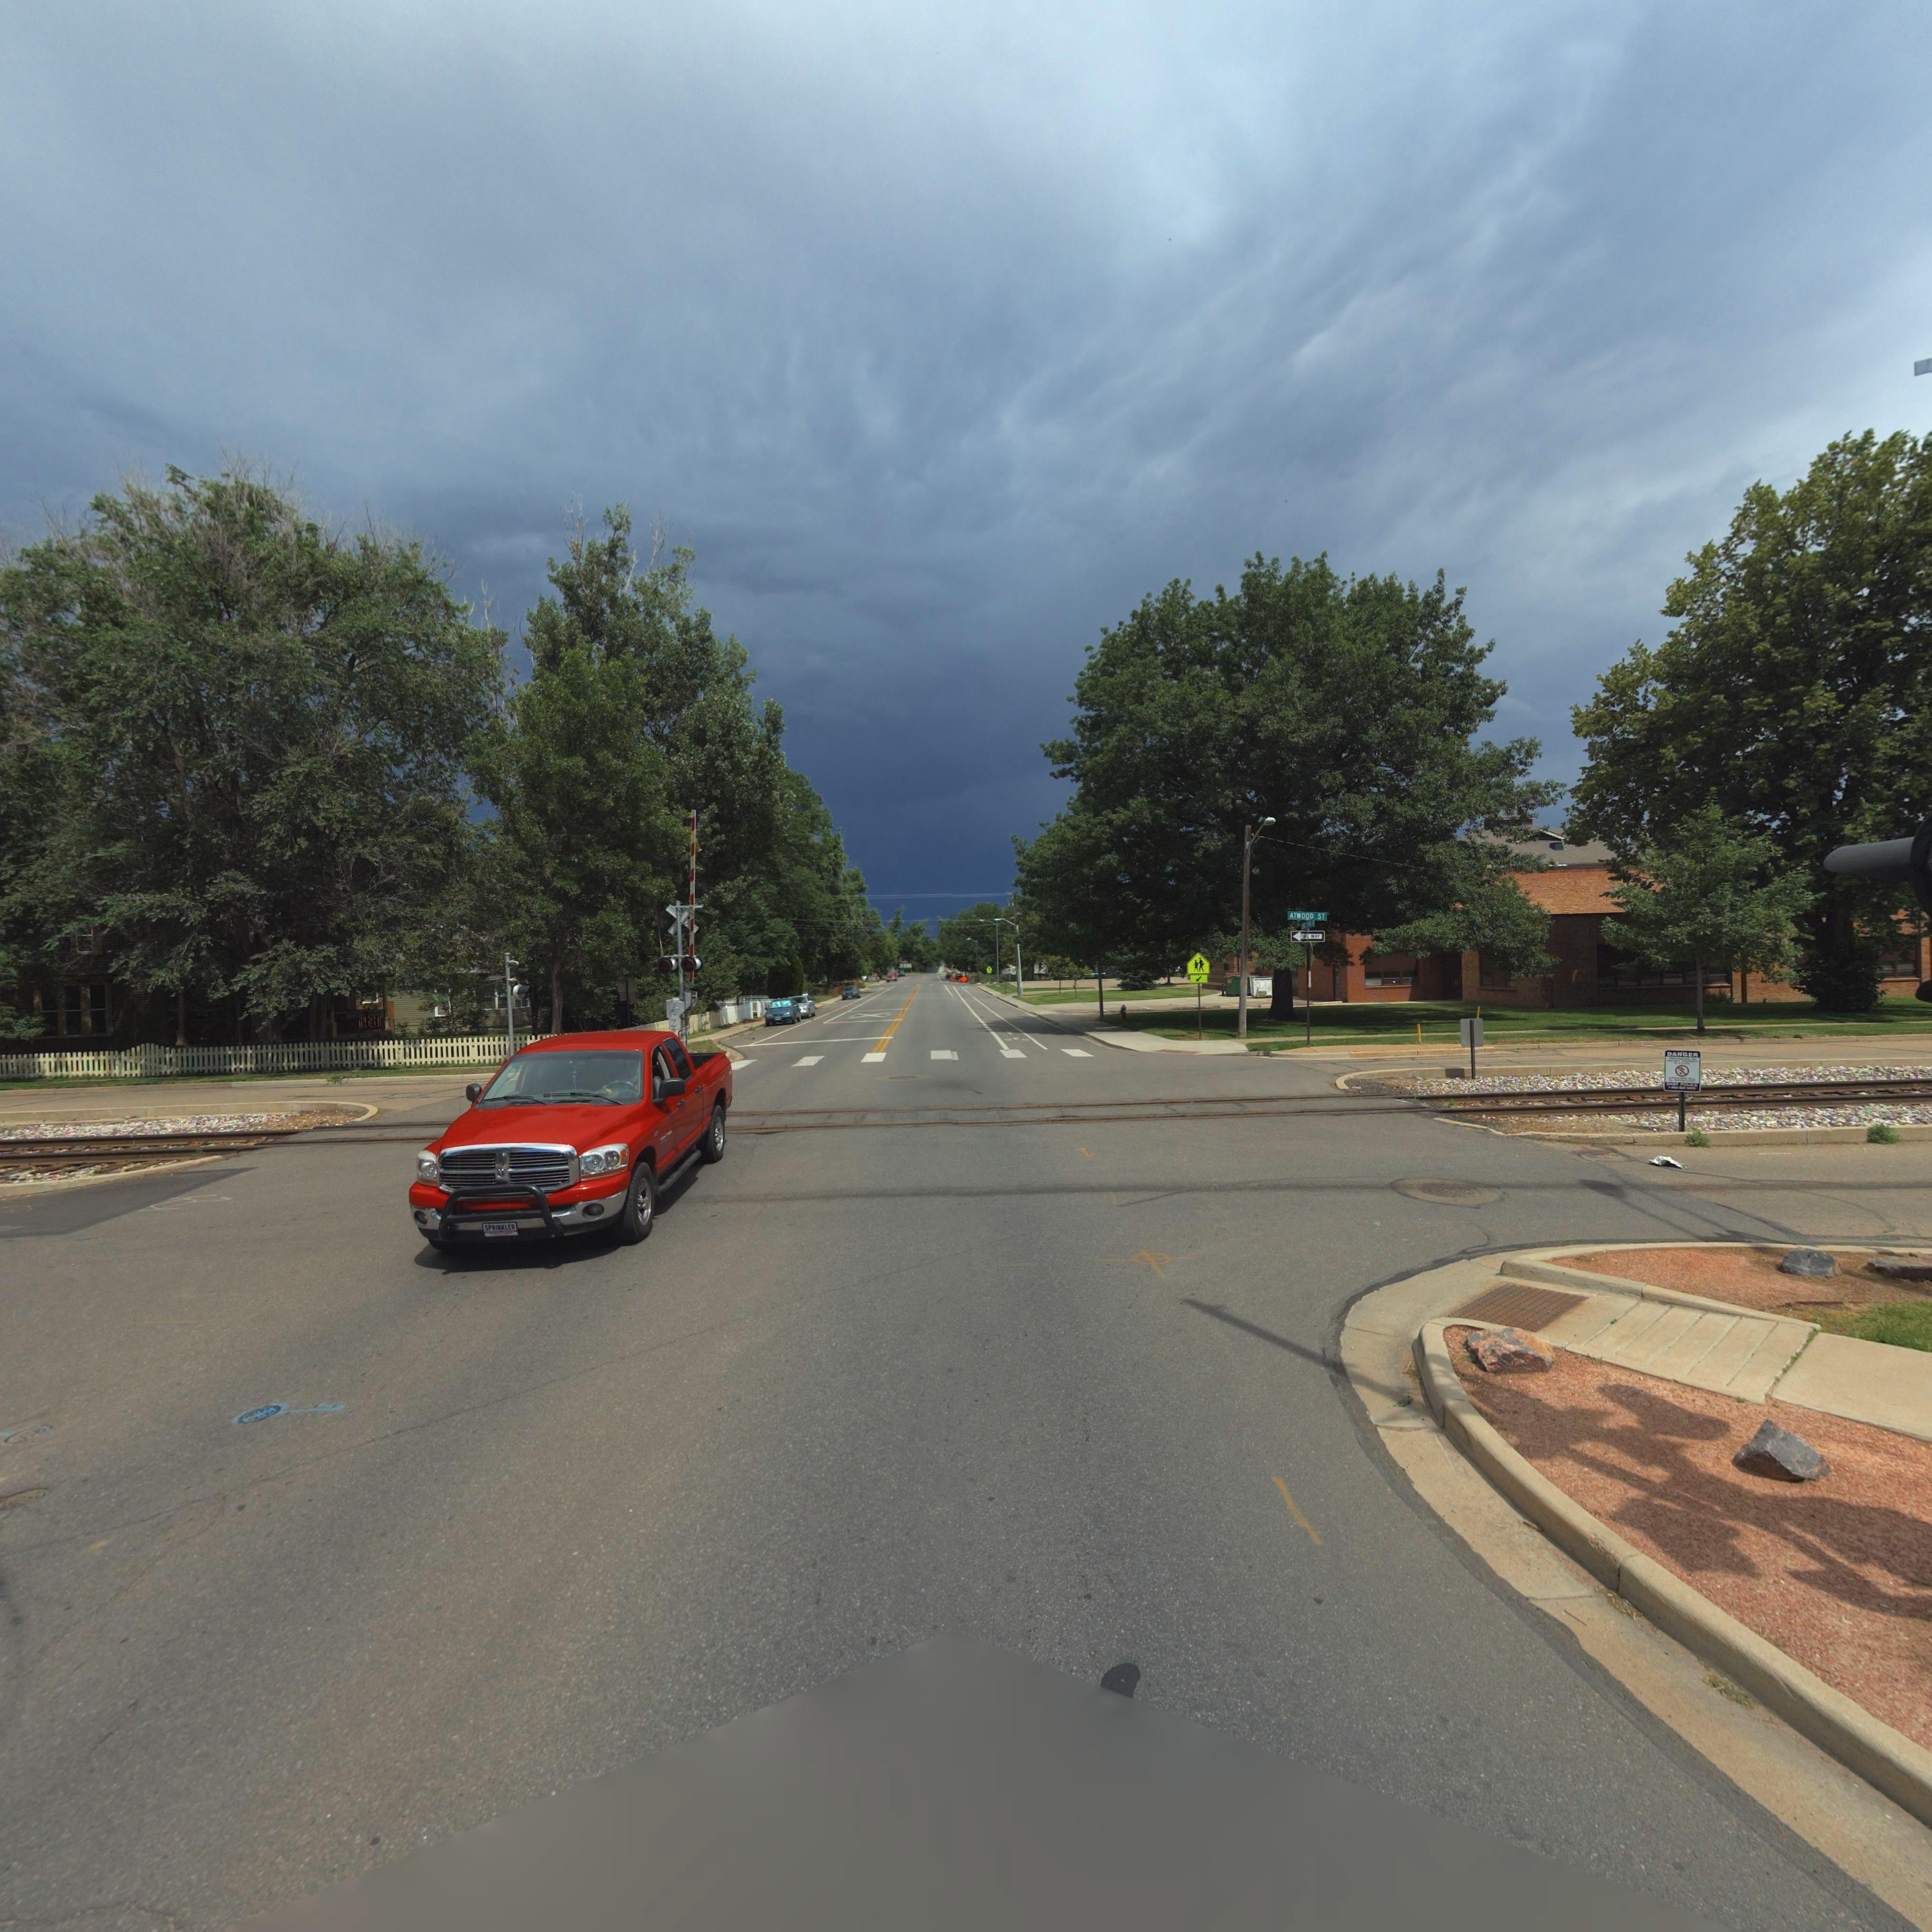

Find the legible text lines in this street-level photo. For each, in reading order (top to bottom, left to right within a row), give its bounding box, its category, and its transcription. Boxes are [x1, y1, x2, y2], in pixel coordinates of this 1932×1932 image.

[1289, 912, 1325, 919] StreetName: ATWOOD ST